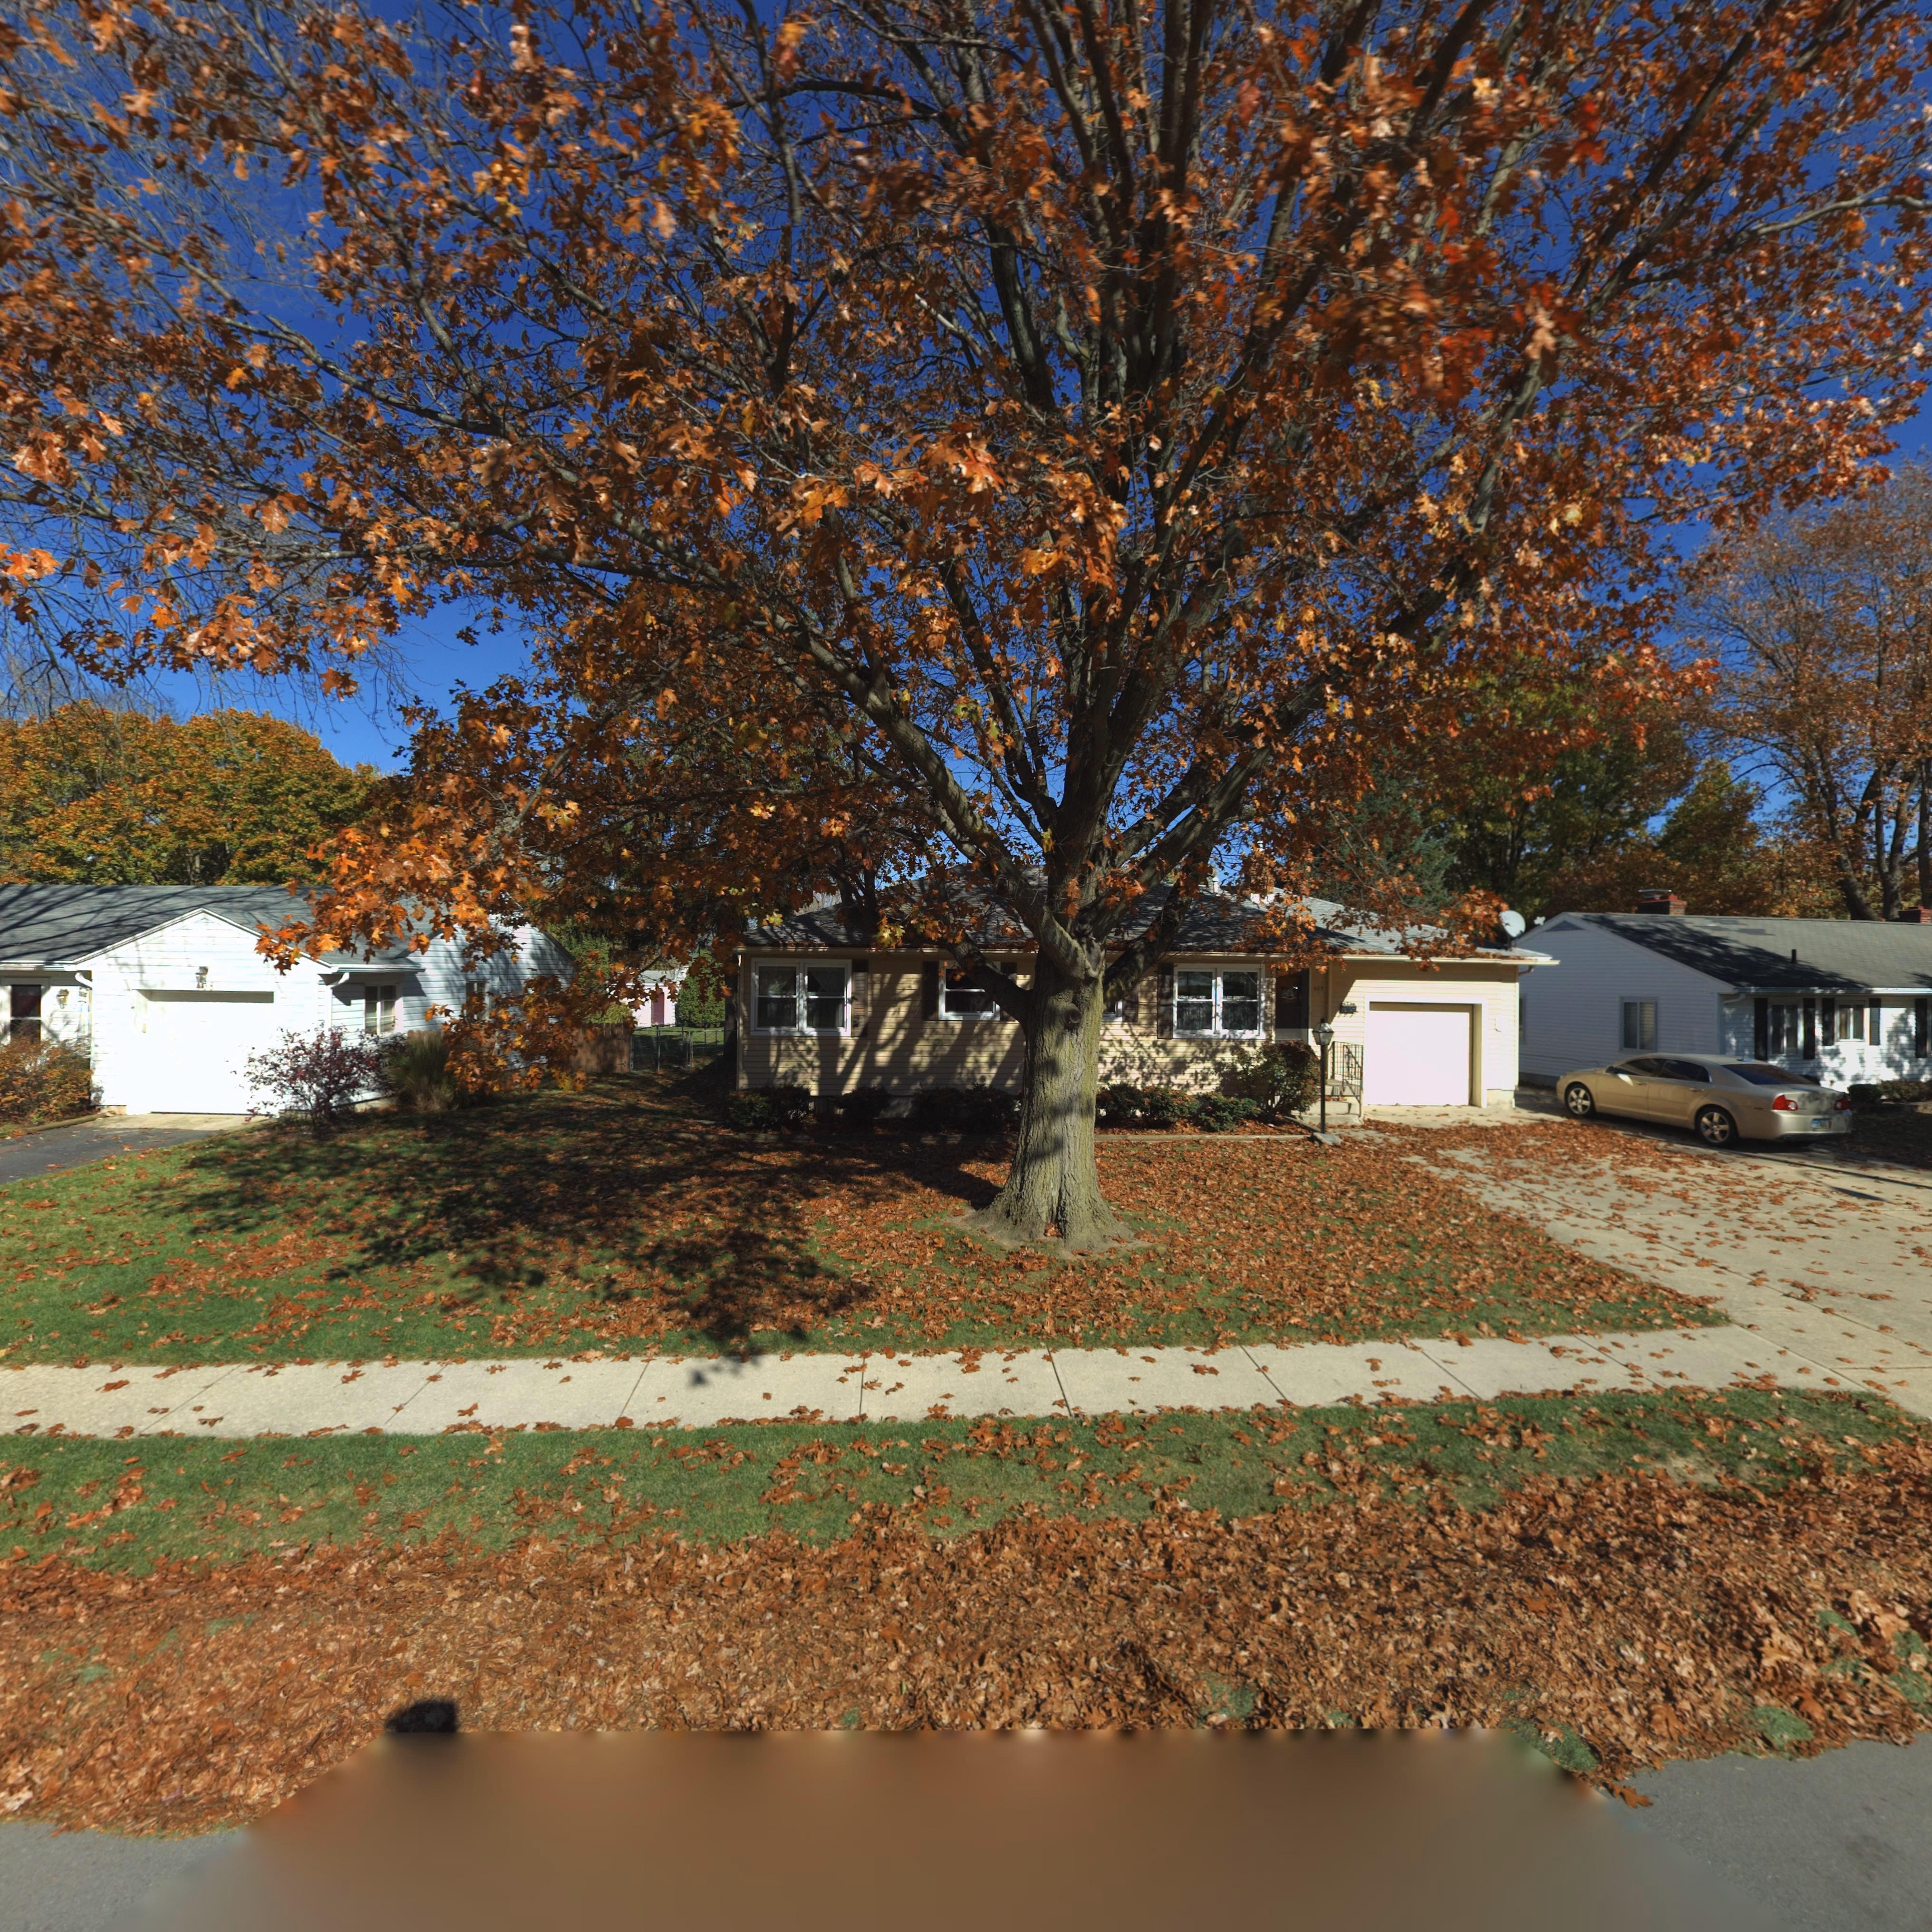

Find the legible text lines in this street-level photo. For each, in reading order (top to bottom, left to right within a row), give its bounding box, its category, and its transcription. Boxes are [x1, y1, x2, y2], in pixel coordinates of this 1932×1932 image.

[196, 981, 214, 991] StreetNumber: 408
[1313, 985, 1324, 991] StreetNumber: 405